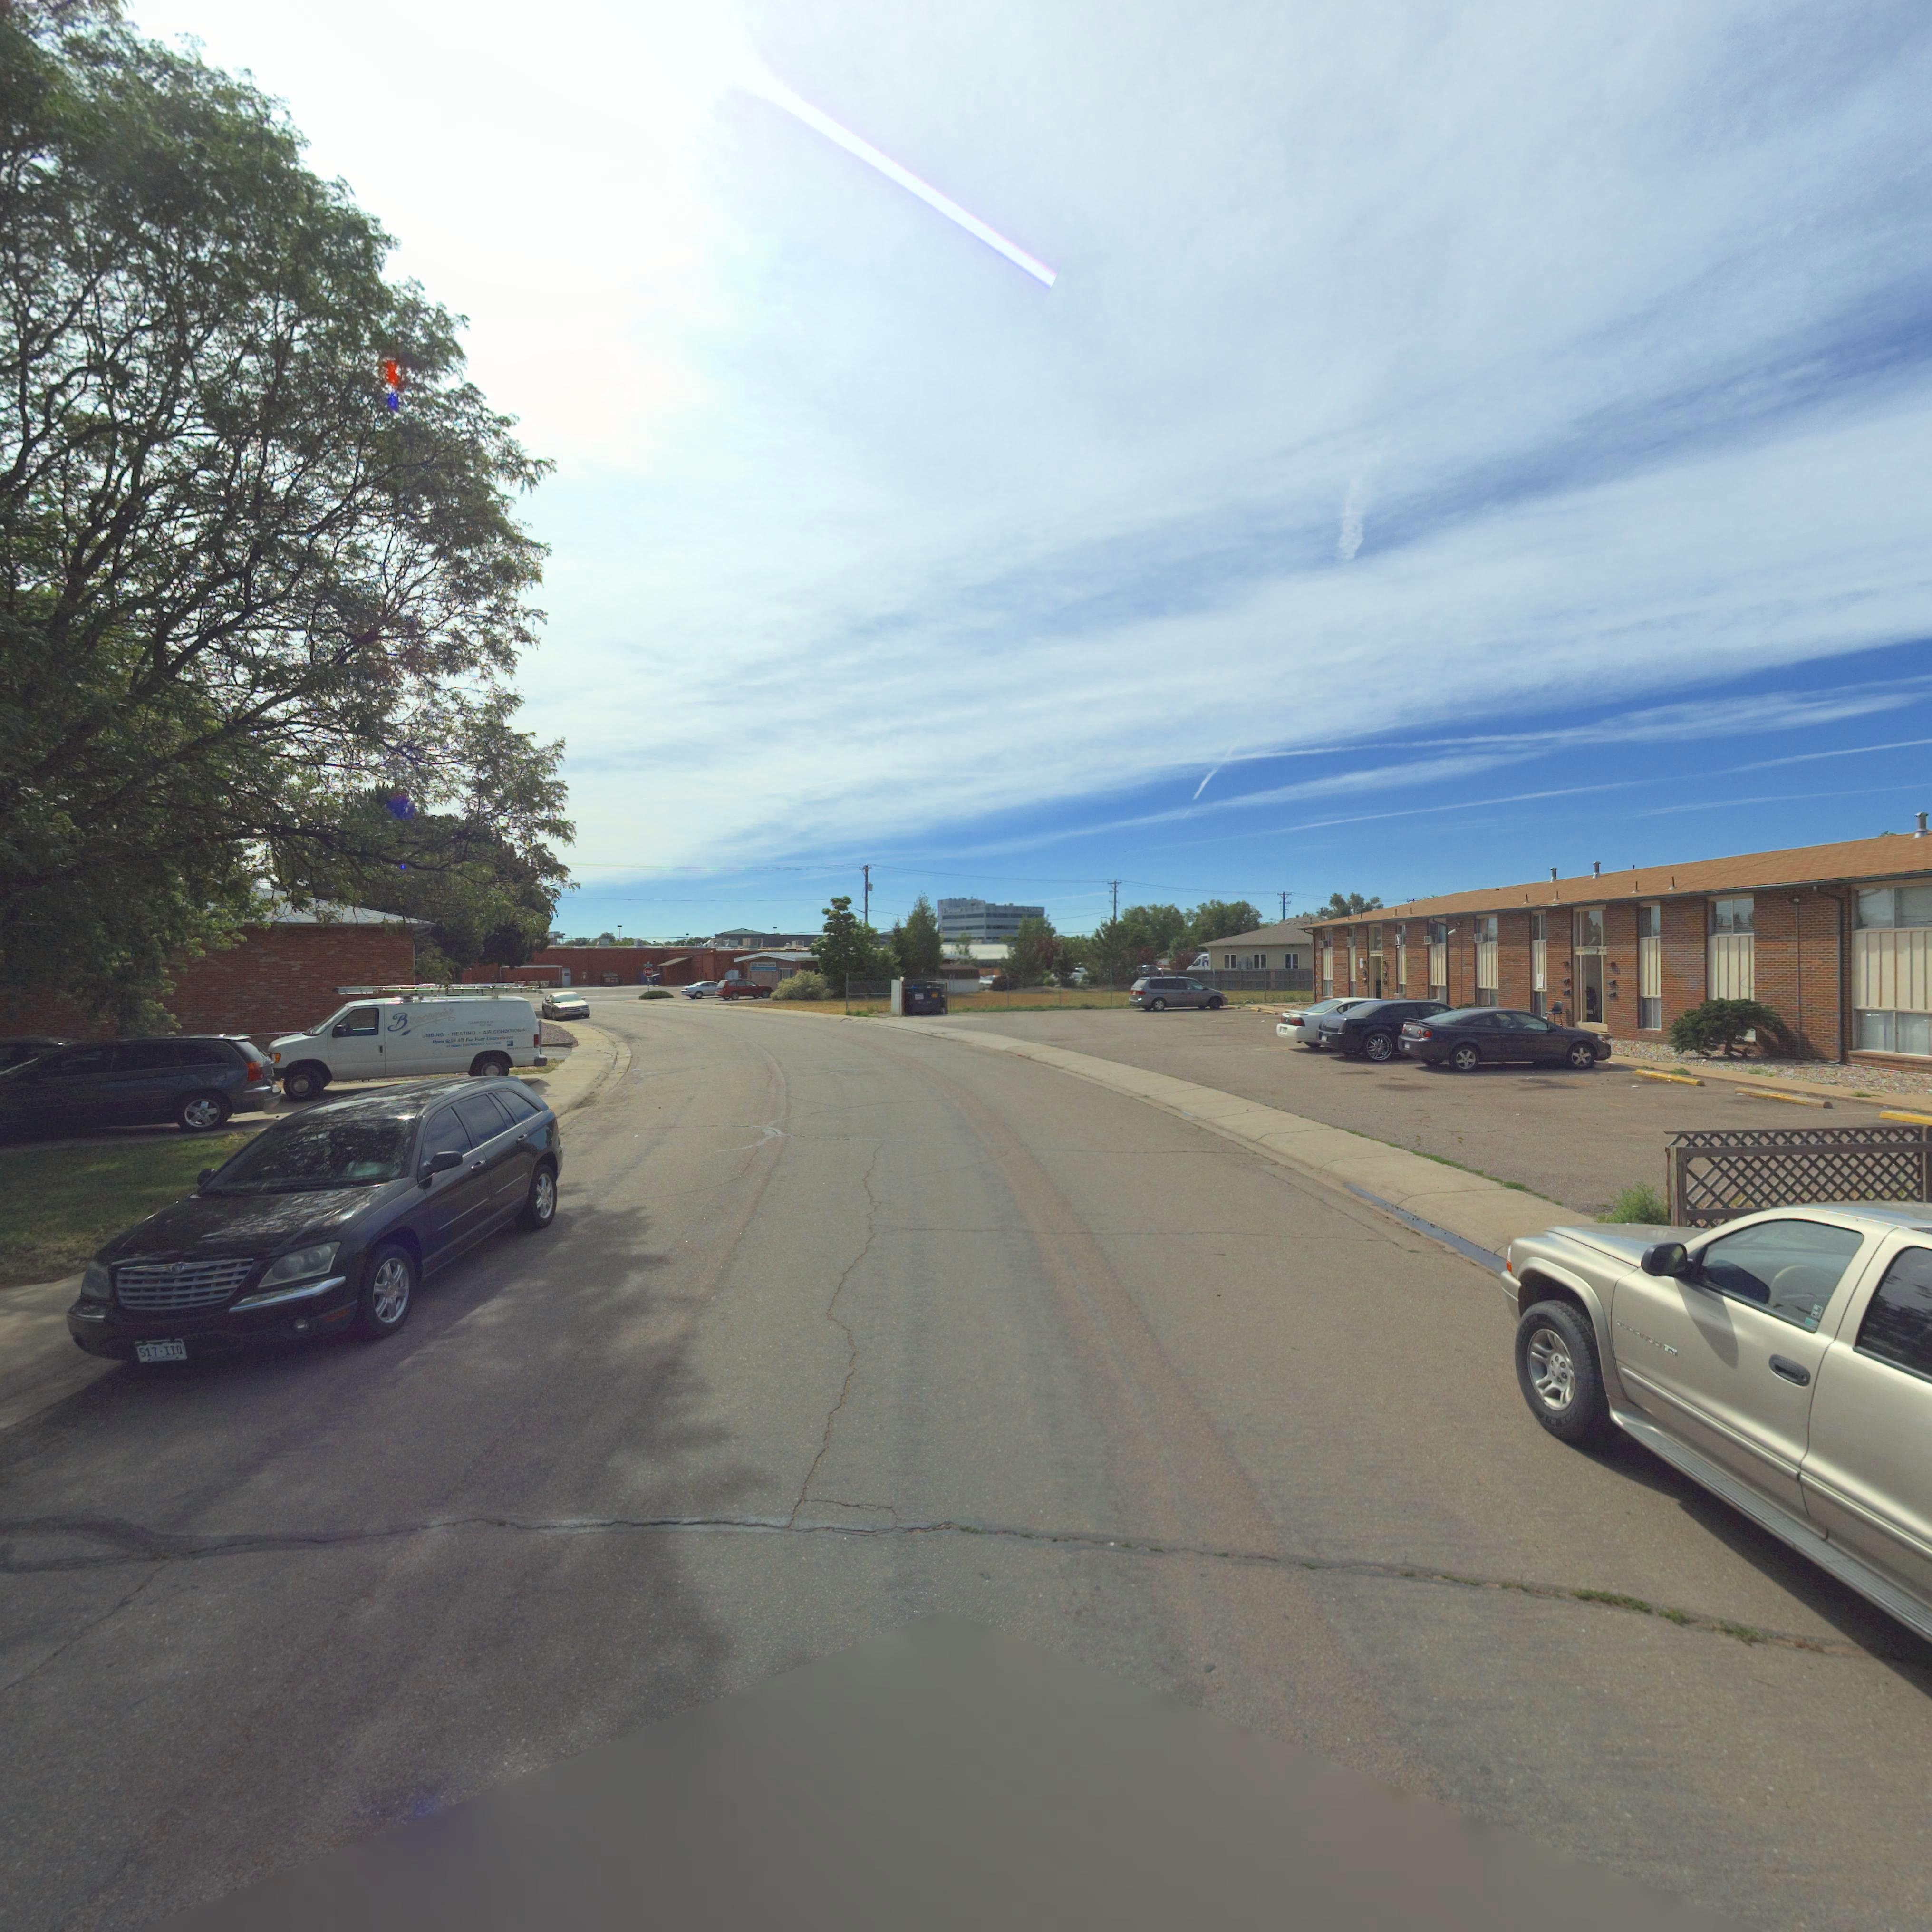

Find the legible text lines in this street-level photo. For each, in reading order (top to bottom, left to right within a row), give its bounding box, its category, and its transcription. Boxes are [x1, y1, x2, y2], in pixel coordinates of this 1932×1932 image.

[941, 906, 962, 914] BusinessName: *S*****